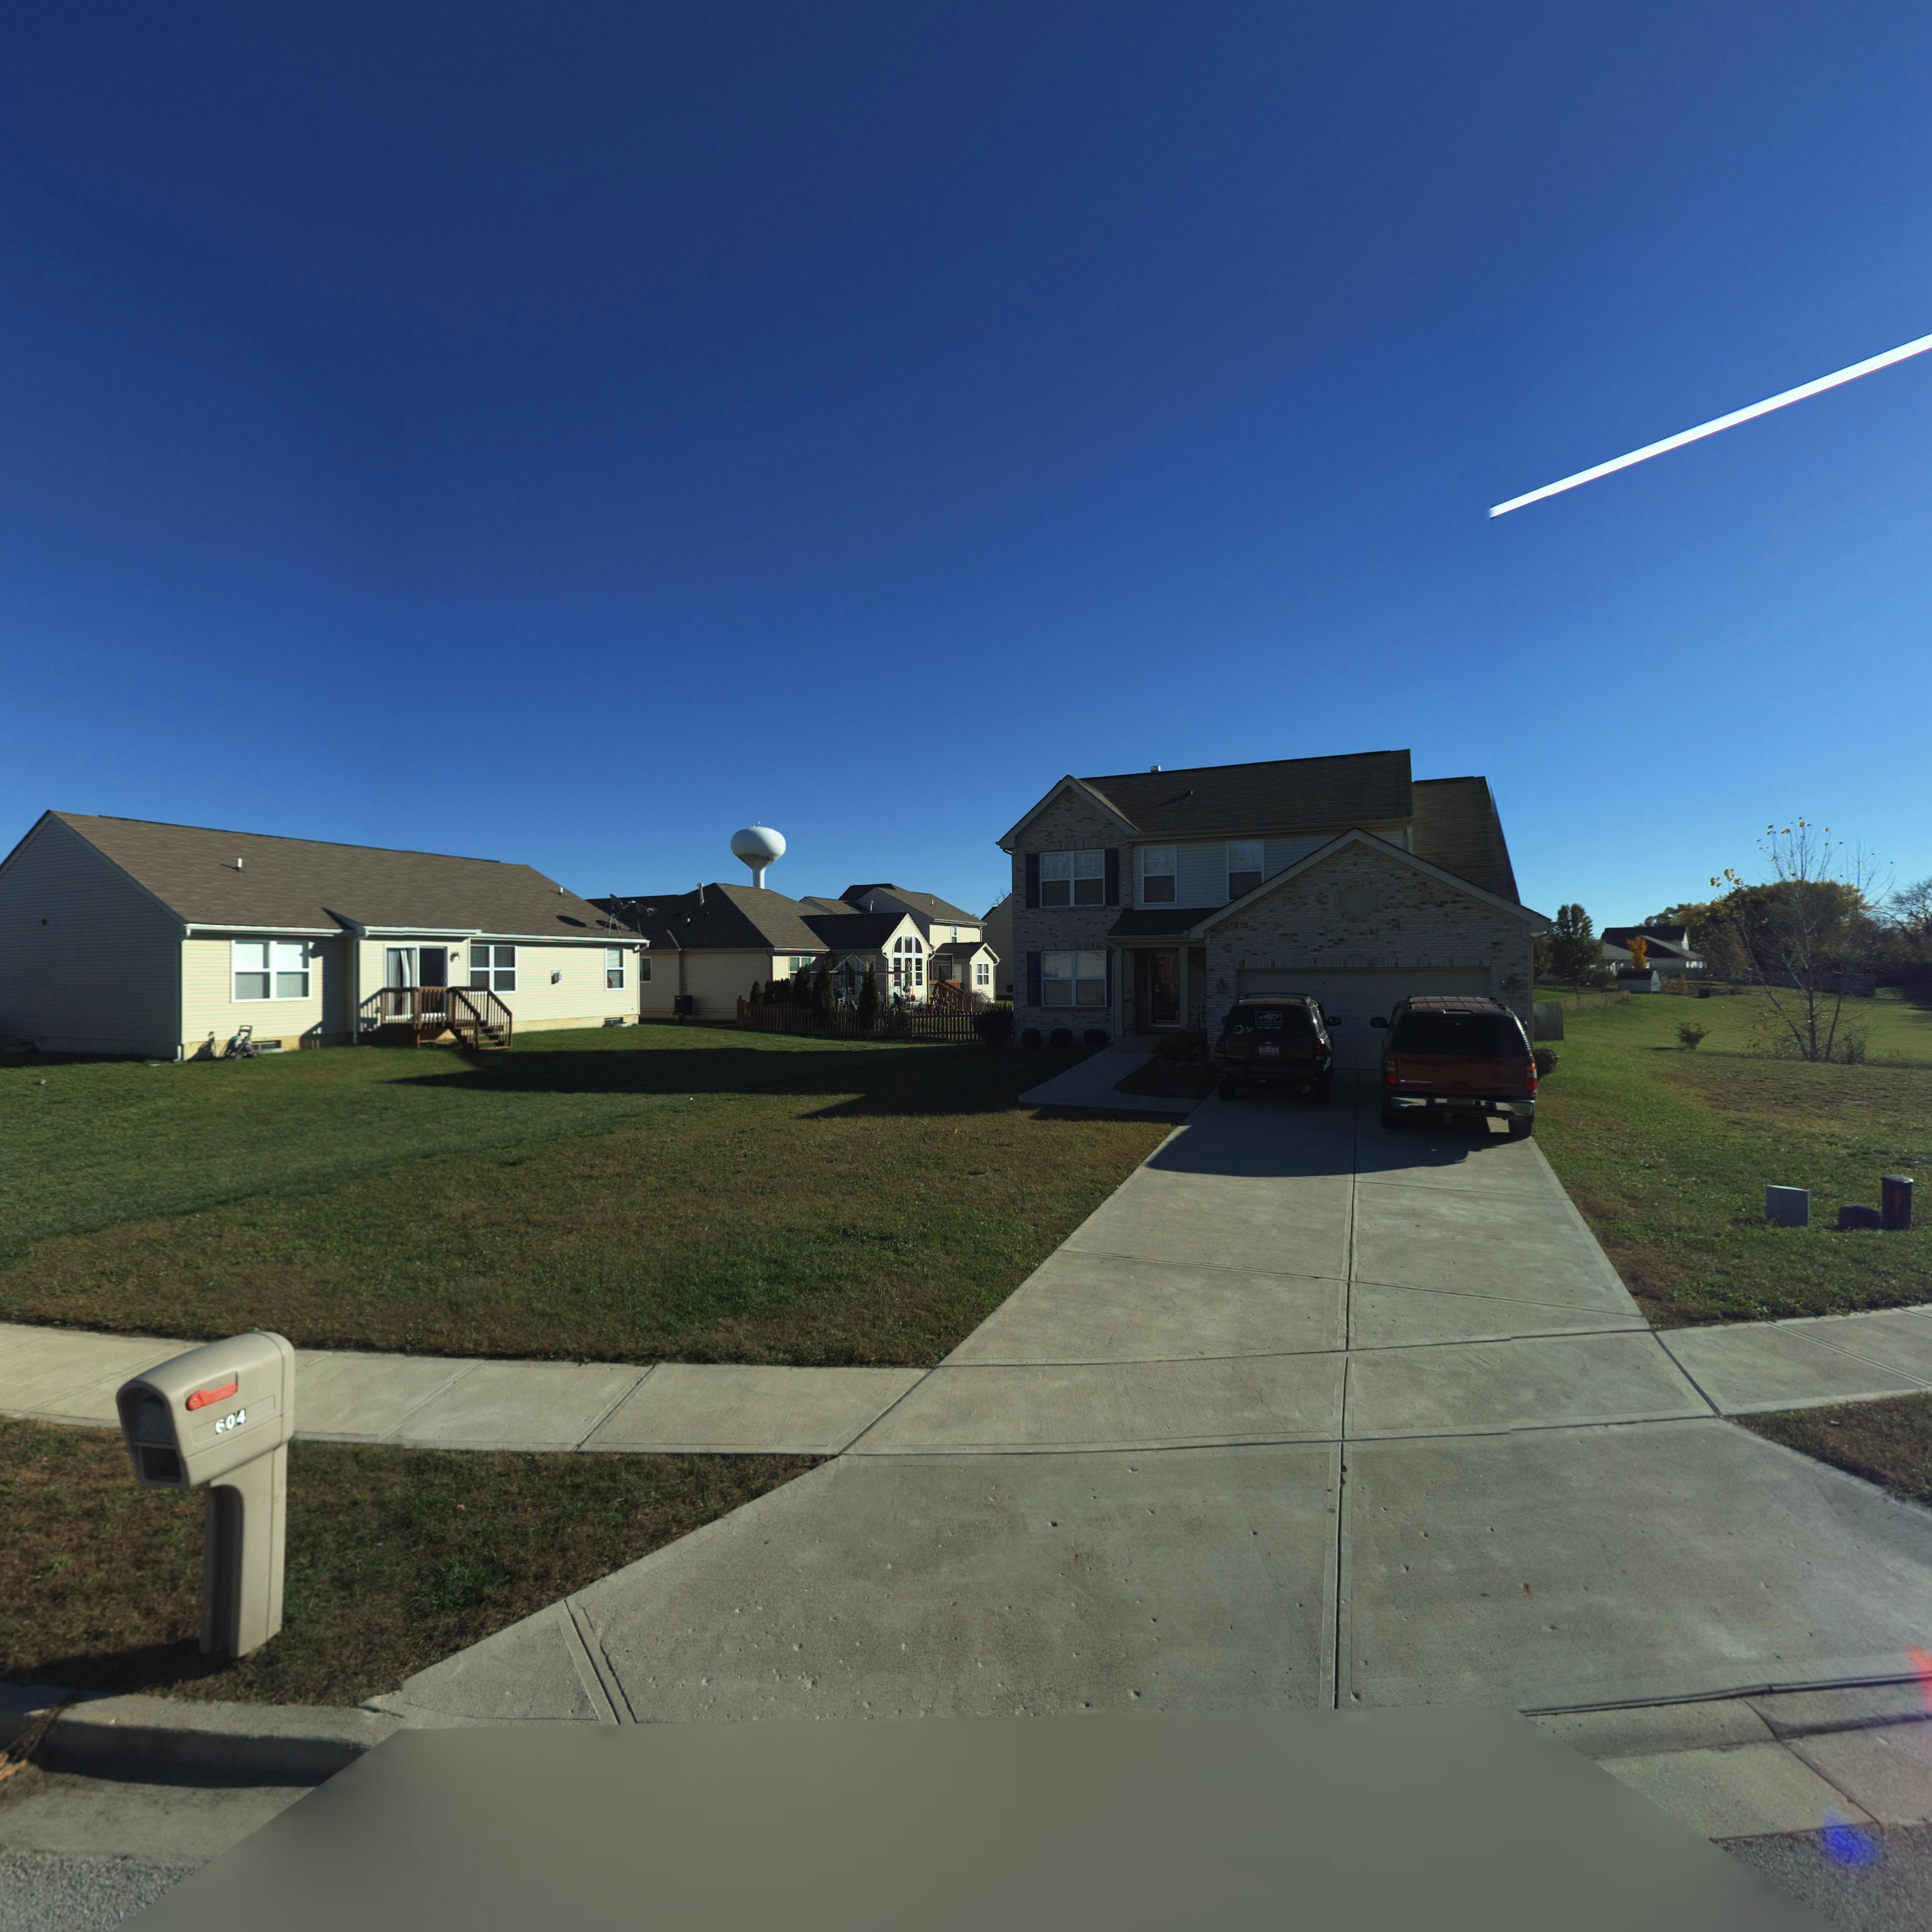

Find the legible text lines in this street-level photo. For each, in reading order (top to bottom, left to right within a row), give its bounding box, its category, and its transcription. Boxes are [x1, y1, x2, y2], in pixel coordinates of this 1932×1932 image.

[214, 1408, 247, 1434] StreetNumber: 604